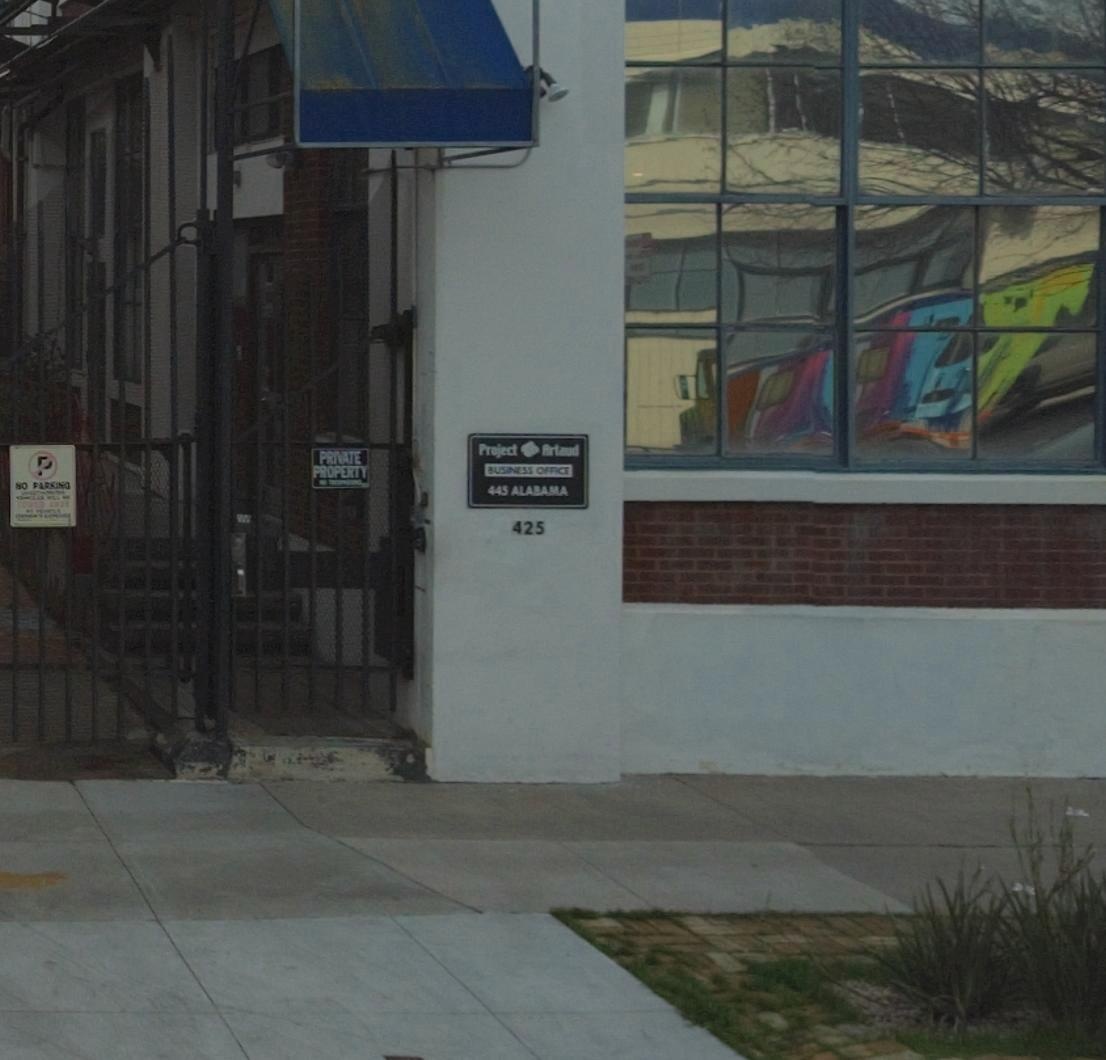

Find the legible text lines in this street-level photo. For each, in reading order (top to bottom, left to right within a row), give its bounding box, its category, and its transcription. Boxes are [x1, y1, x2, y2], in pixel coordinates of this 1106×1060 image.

[318, 449, 363, 466] None: PRIVATE
[477, 441, 581, 460] BusinessName: Project*Artland
[312, 464, 370, 479] None: PROPERTY
[486, 464, 571, 476] None: BUSINESS OFFICE
[14, 480, 72, 491] None: NO PARKING
[485, 484, 510, 497] StreetNumber: 445
[509, 483, 571, 497] StreetName: ALABAMA
[511, 519, 547, 537] StreetNumber: 425